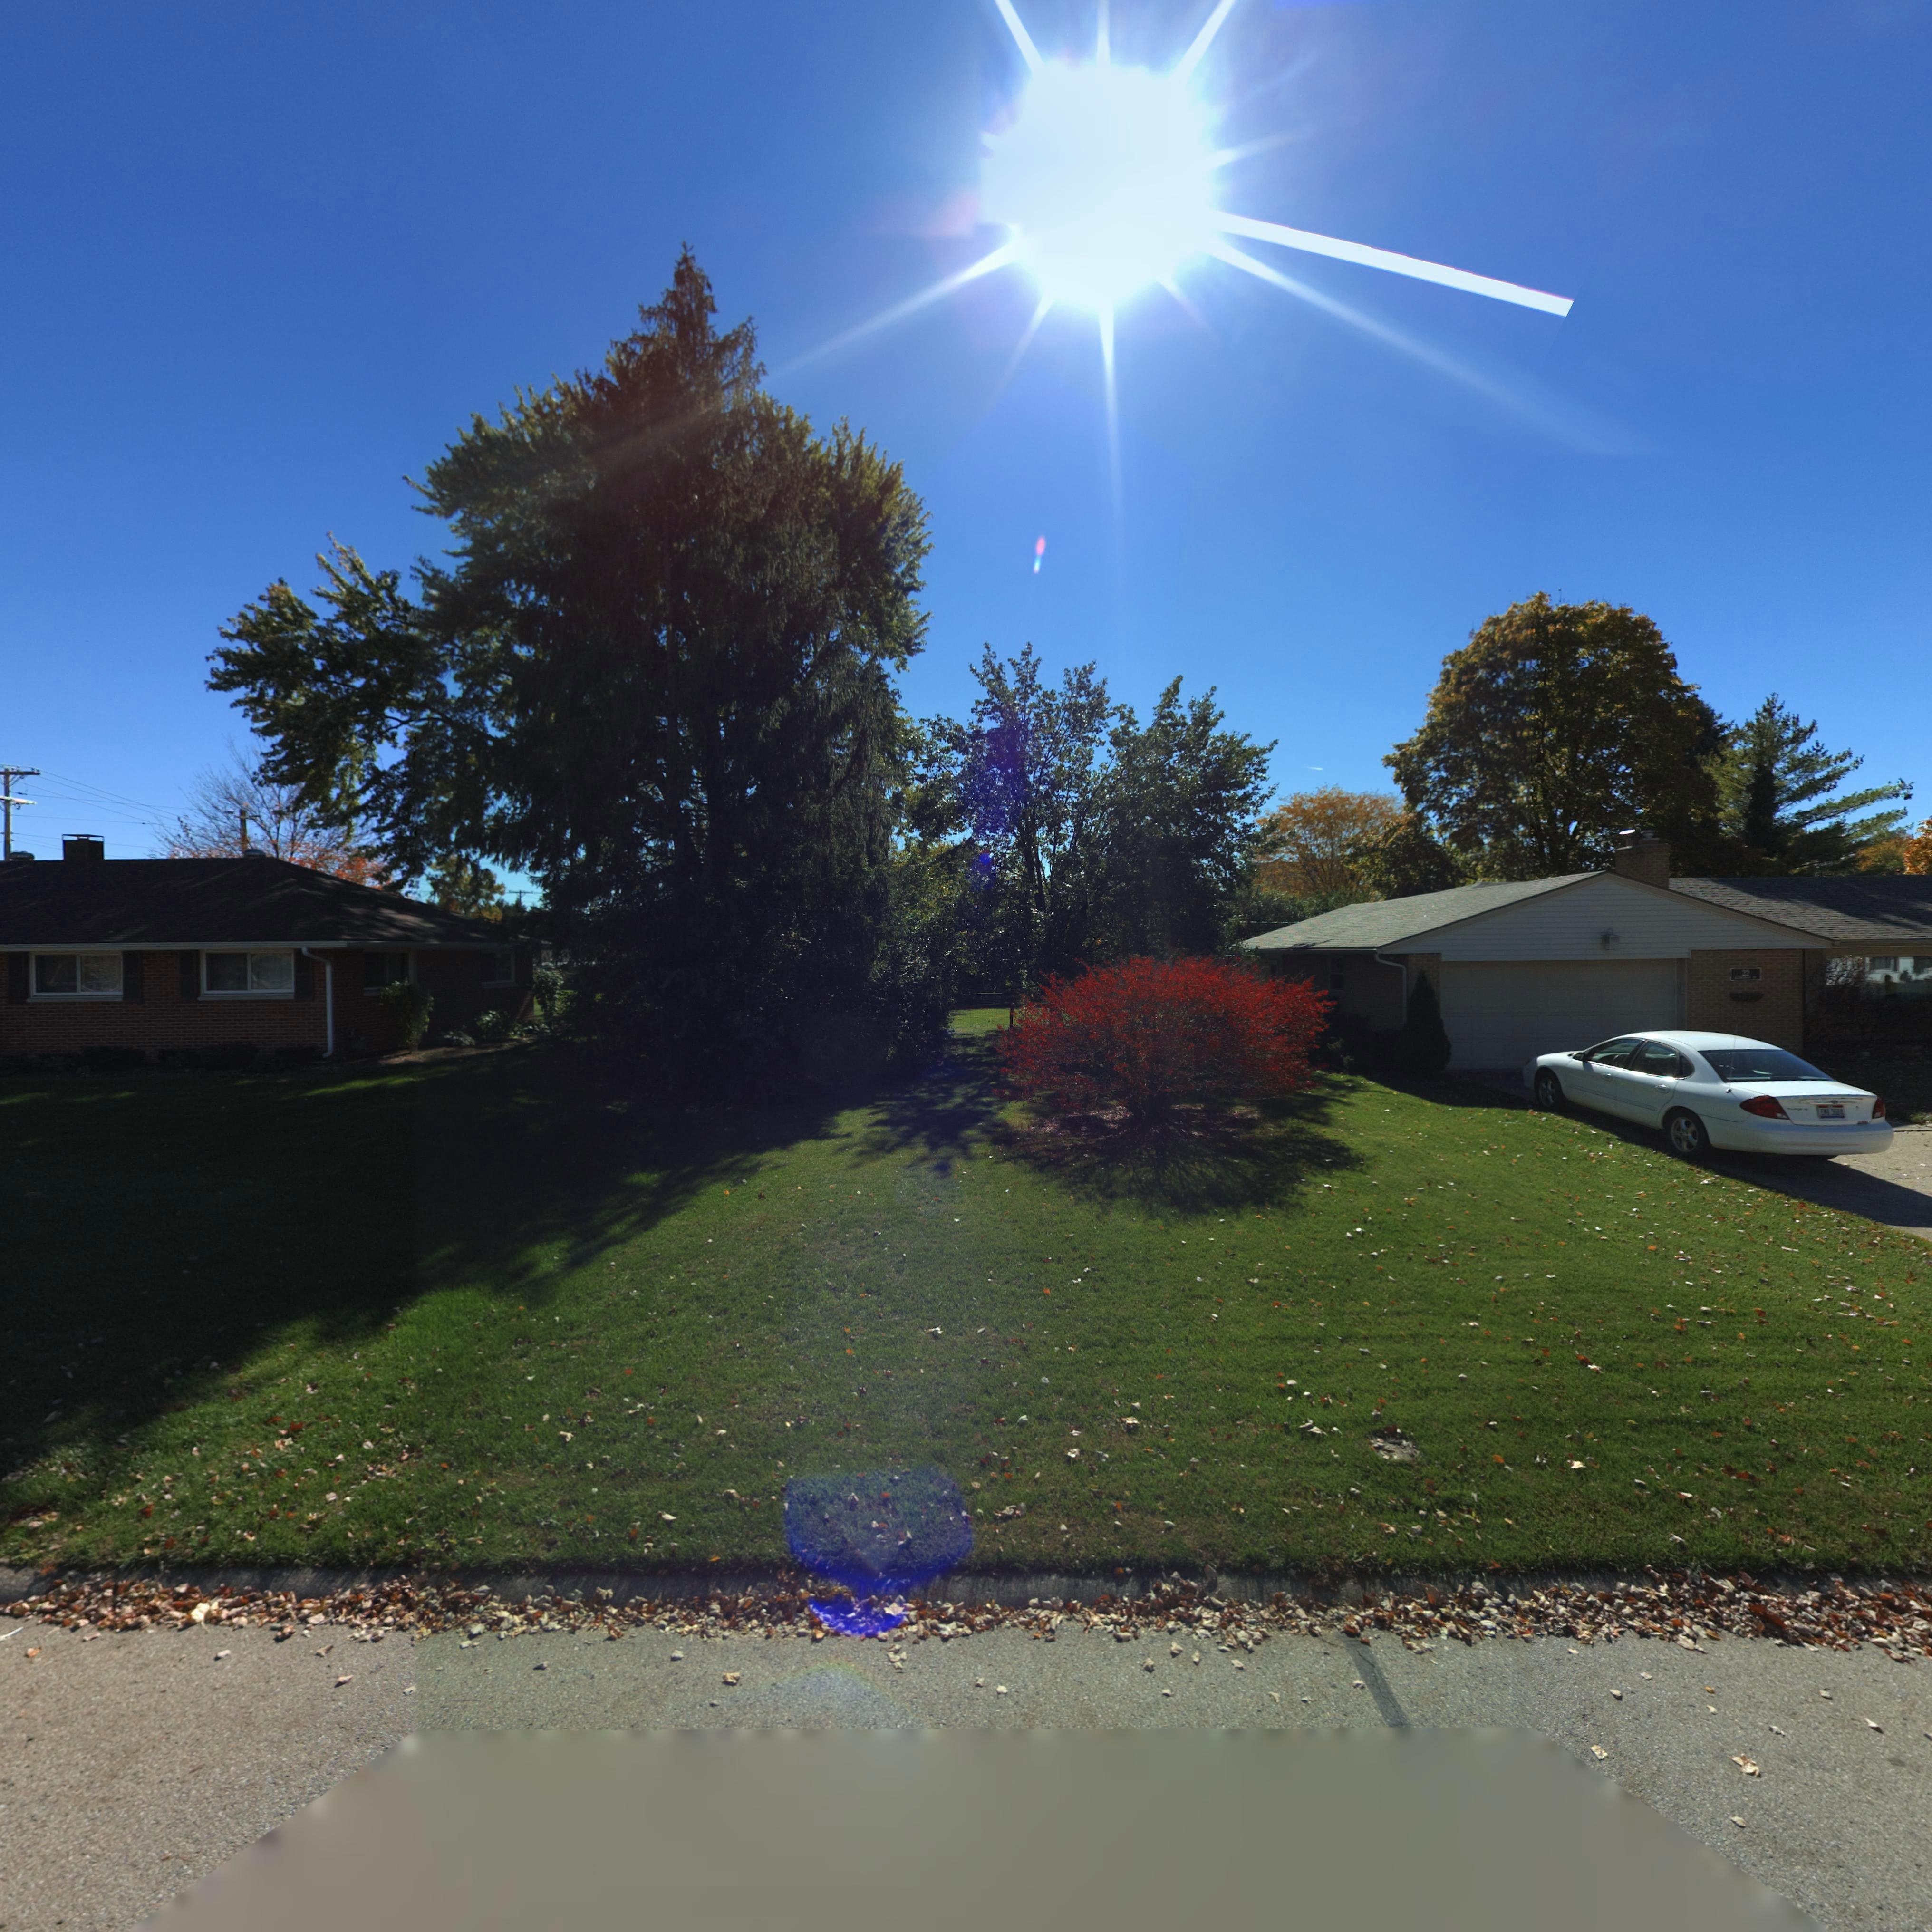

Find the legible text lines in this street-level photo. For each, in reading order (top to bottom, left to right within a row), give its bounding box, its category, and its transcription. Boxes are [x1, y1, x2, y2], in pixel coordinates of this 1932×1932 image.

[1741, 969, 1750, 977] StreetNumber: 22